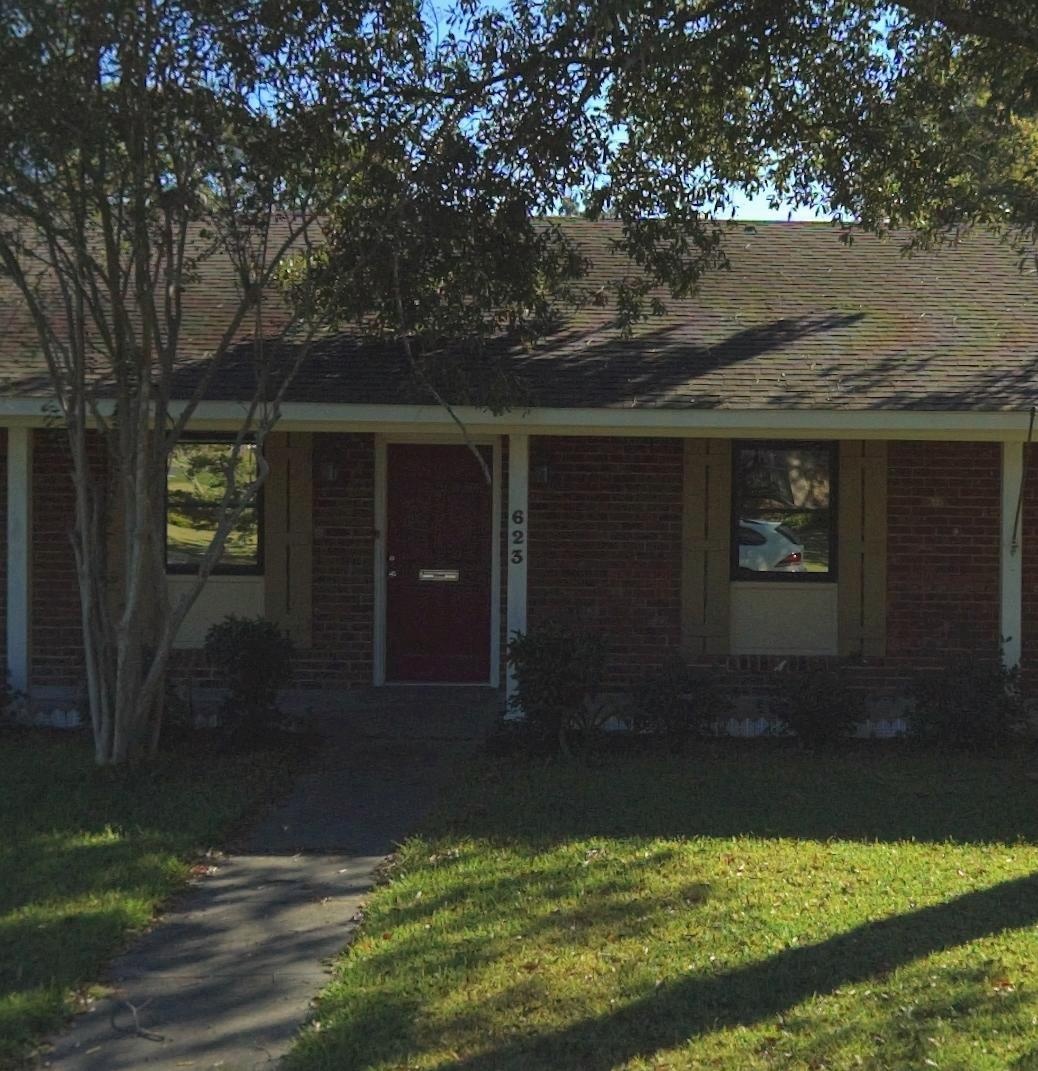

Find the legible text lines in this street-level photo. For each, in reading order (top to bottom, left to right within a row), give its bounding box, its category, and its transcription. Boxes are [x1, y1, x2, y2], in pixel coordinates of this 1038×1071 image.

[509, 507, 527, 567] StreetNumber: 623